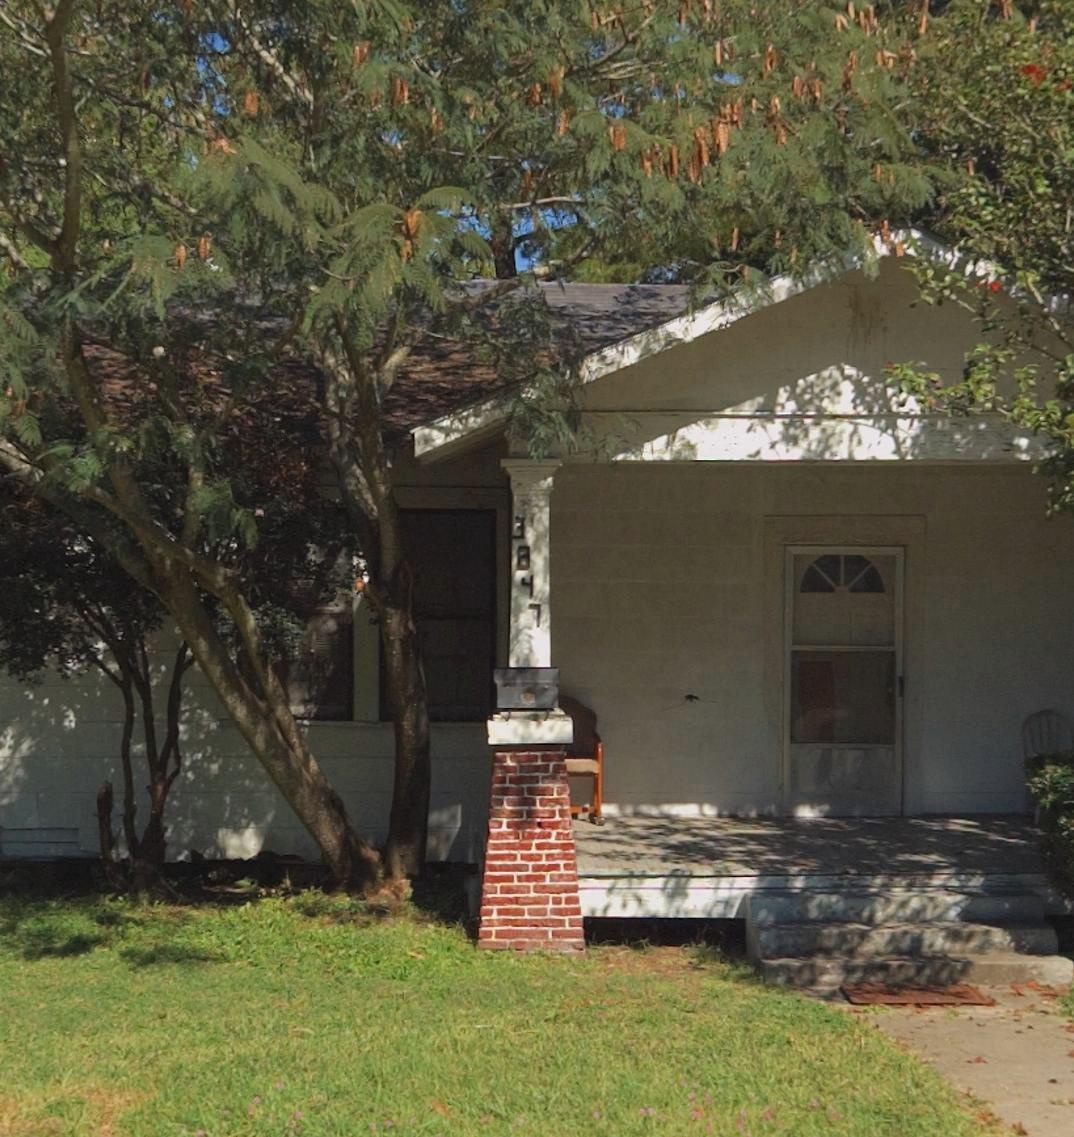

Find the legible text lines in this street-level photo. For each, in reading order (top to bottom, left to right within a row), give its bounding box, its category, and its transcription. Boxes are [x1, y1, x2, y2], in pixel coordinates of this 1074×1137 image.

[510, 516, 542, 629] StreetNumber: 3847